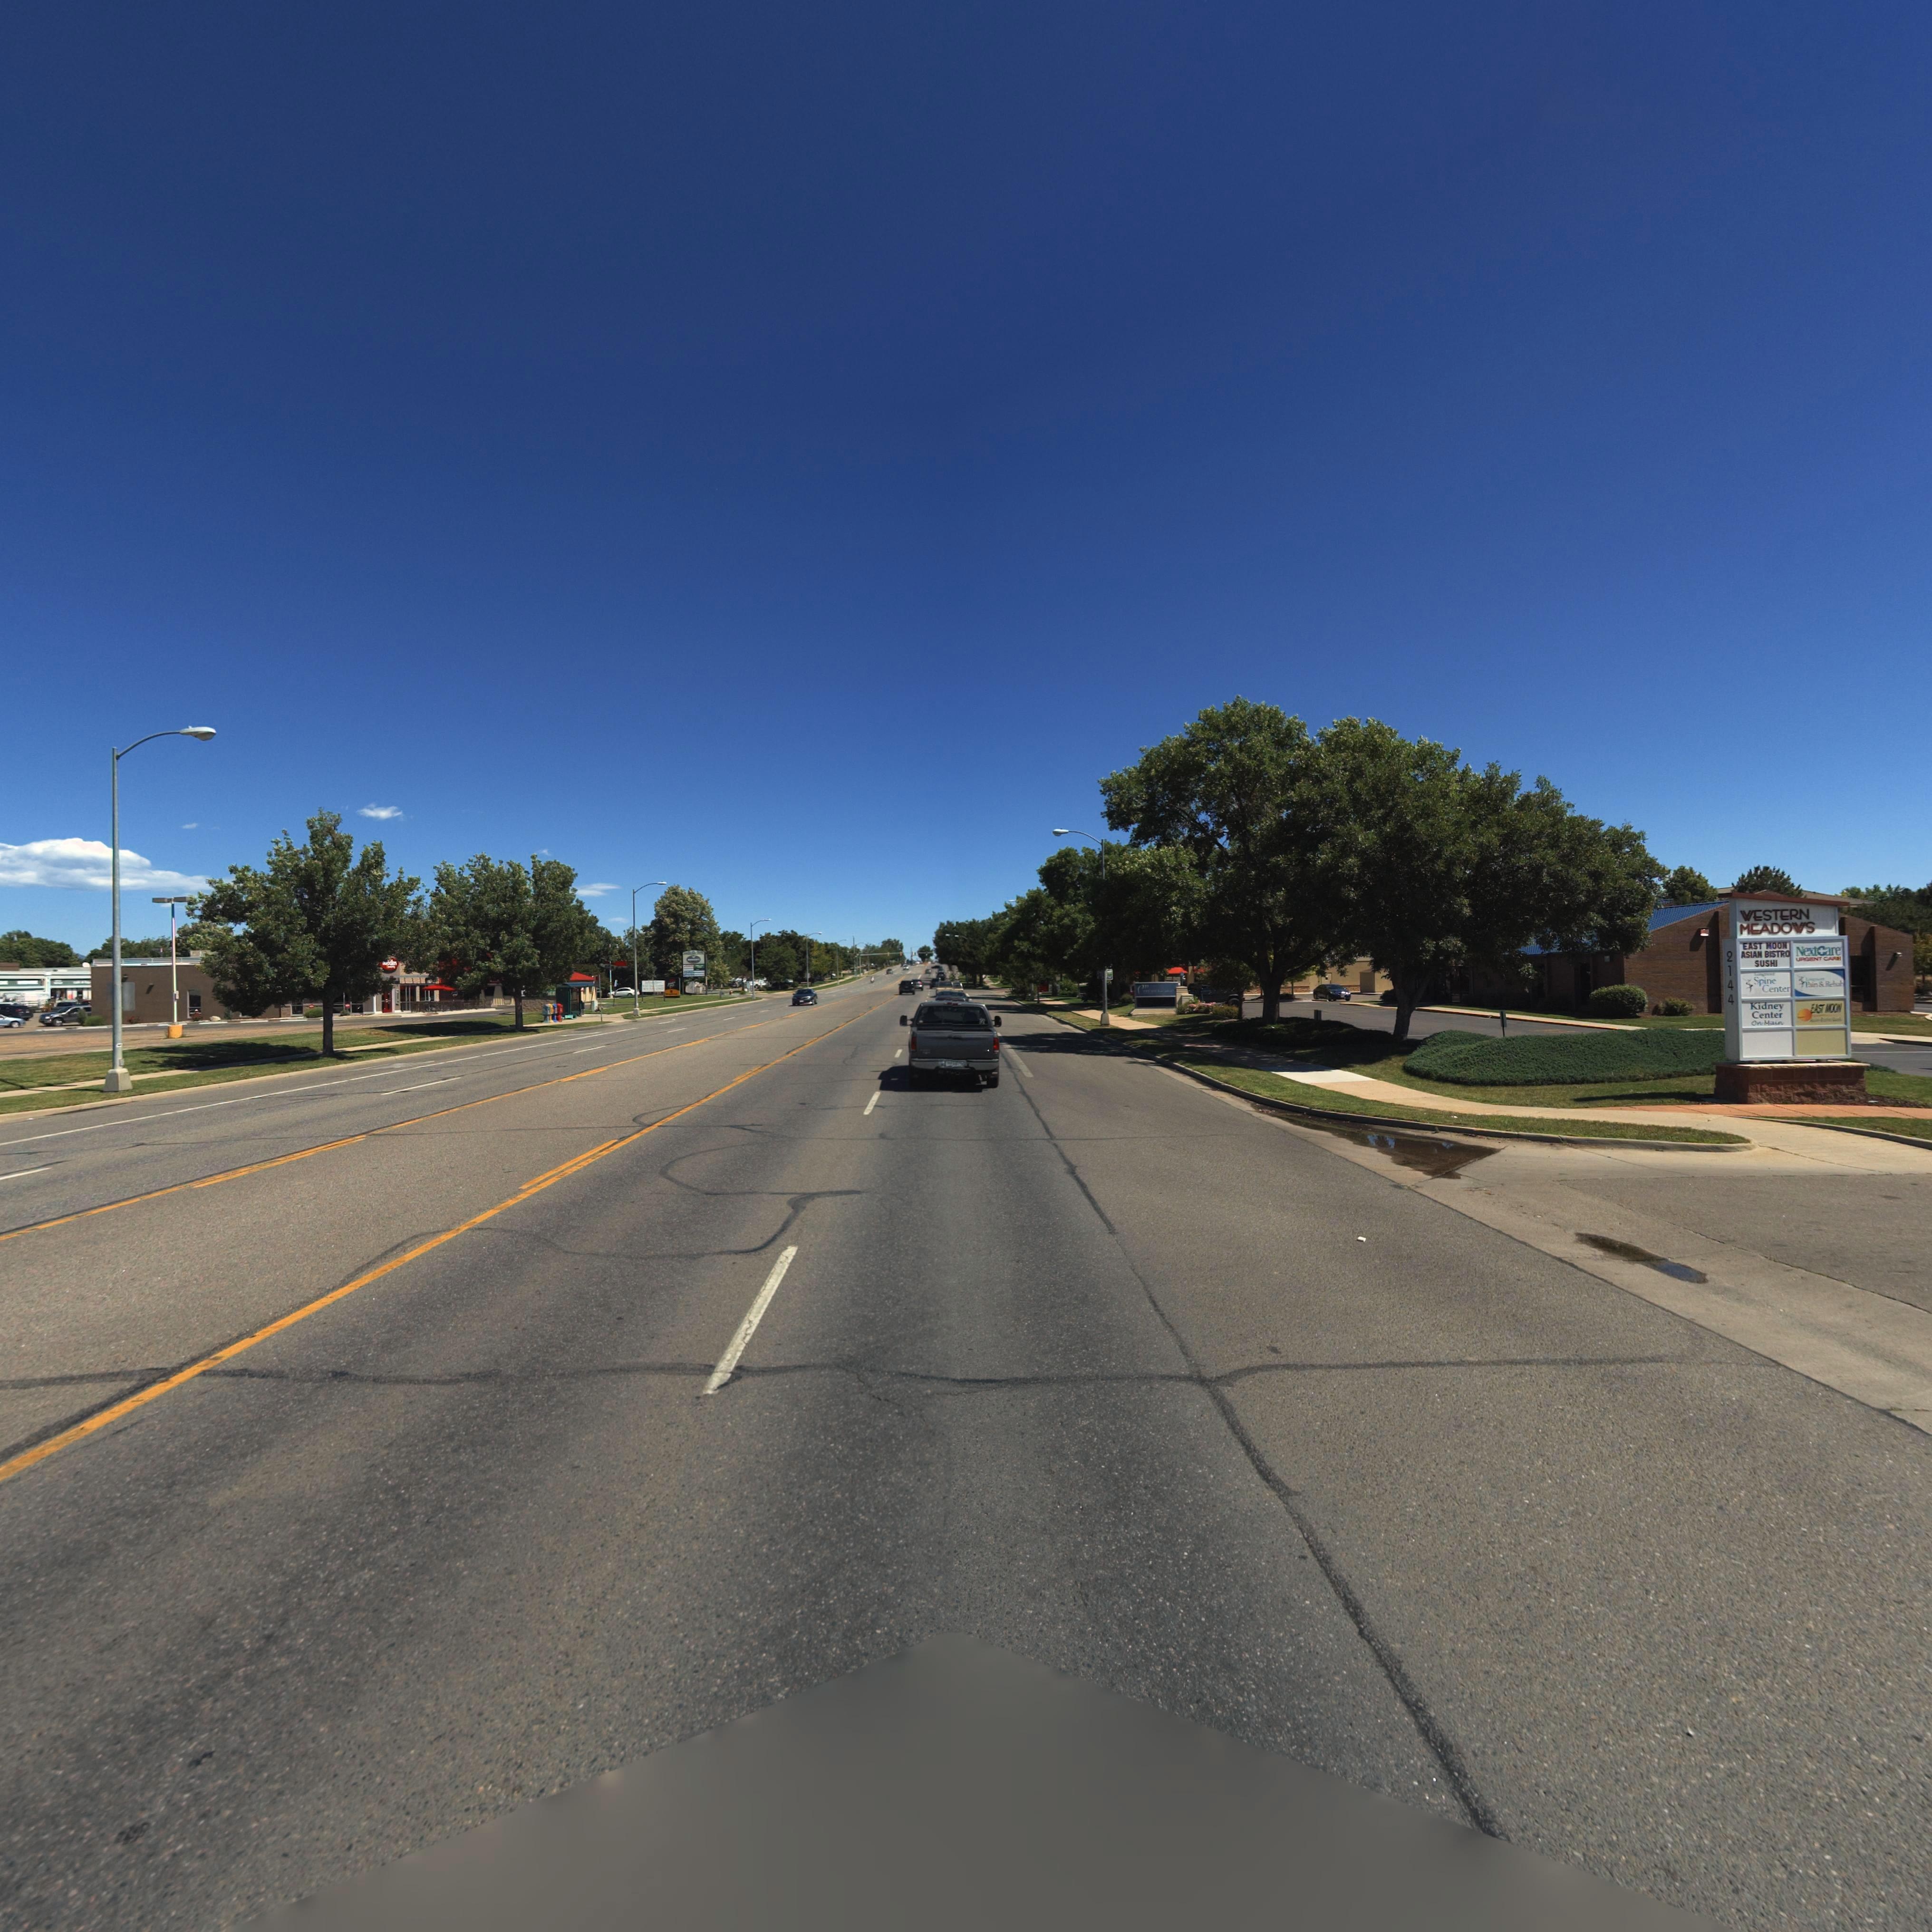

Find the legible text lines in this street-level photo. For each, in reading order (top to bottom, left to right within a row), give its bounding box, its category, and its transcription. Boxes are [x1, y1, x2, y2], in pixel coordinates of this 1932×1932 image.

[1742, 941, 1787, 950] BusinessName: EAST MOON
[1740, 949, 1791, 958] BusinessName: ASIAN BISTRO
[1795, 945, 1841, 956] BusinessName: NextCare
[382, 959, 397, 966] BusinessName: *ood*es
[1796, 956, 1841, 962] BusinessName: URGENT CAR*
[1726, 950, 1735, 1006] StreetNumber: 2144
[1753, 976, 1777, 987] BusinessName: Spine
[1805, 980, 1844, 987] BusinessName: Pain & Reh*b
[1761, 984, 1791, 993] BusinessName: Center
[1749, 1002, 1784, 1012] BusinessName: Kidney
[1809, 1002, 1842, 1014] BusinessName: EAST MOON
[1751, 1010, 1784, 1019] BusinessName: Center
[1750, 1019, 1784, 1026] BusinessName: On Main